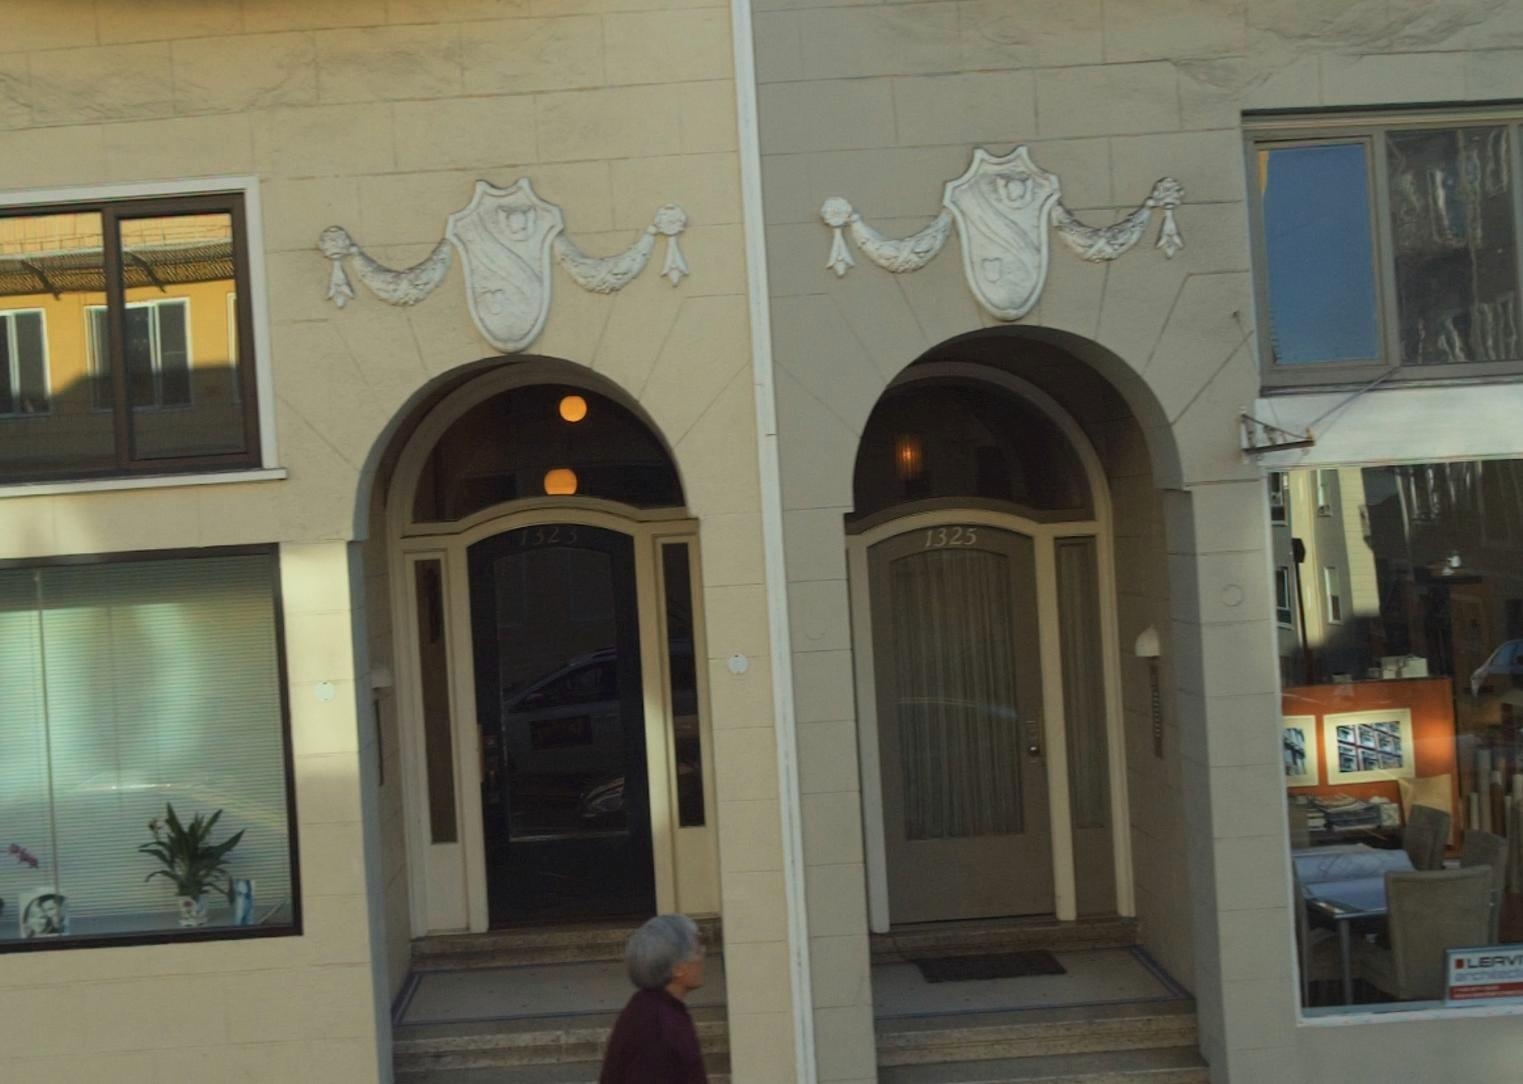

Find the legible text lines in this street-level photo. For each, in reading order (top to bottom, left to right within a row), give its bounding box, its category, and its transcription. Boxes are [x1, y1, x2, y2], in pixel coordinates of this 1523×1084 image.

[516, 523, 579, 551] StreetNumber: 1323
[921, 524, 981, 551] StreetNumber: 1325
[1453, 966, 1523, 983] BusinessName: architech
[1466, 953, 1523, 970] BusinessName: LEAV